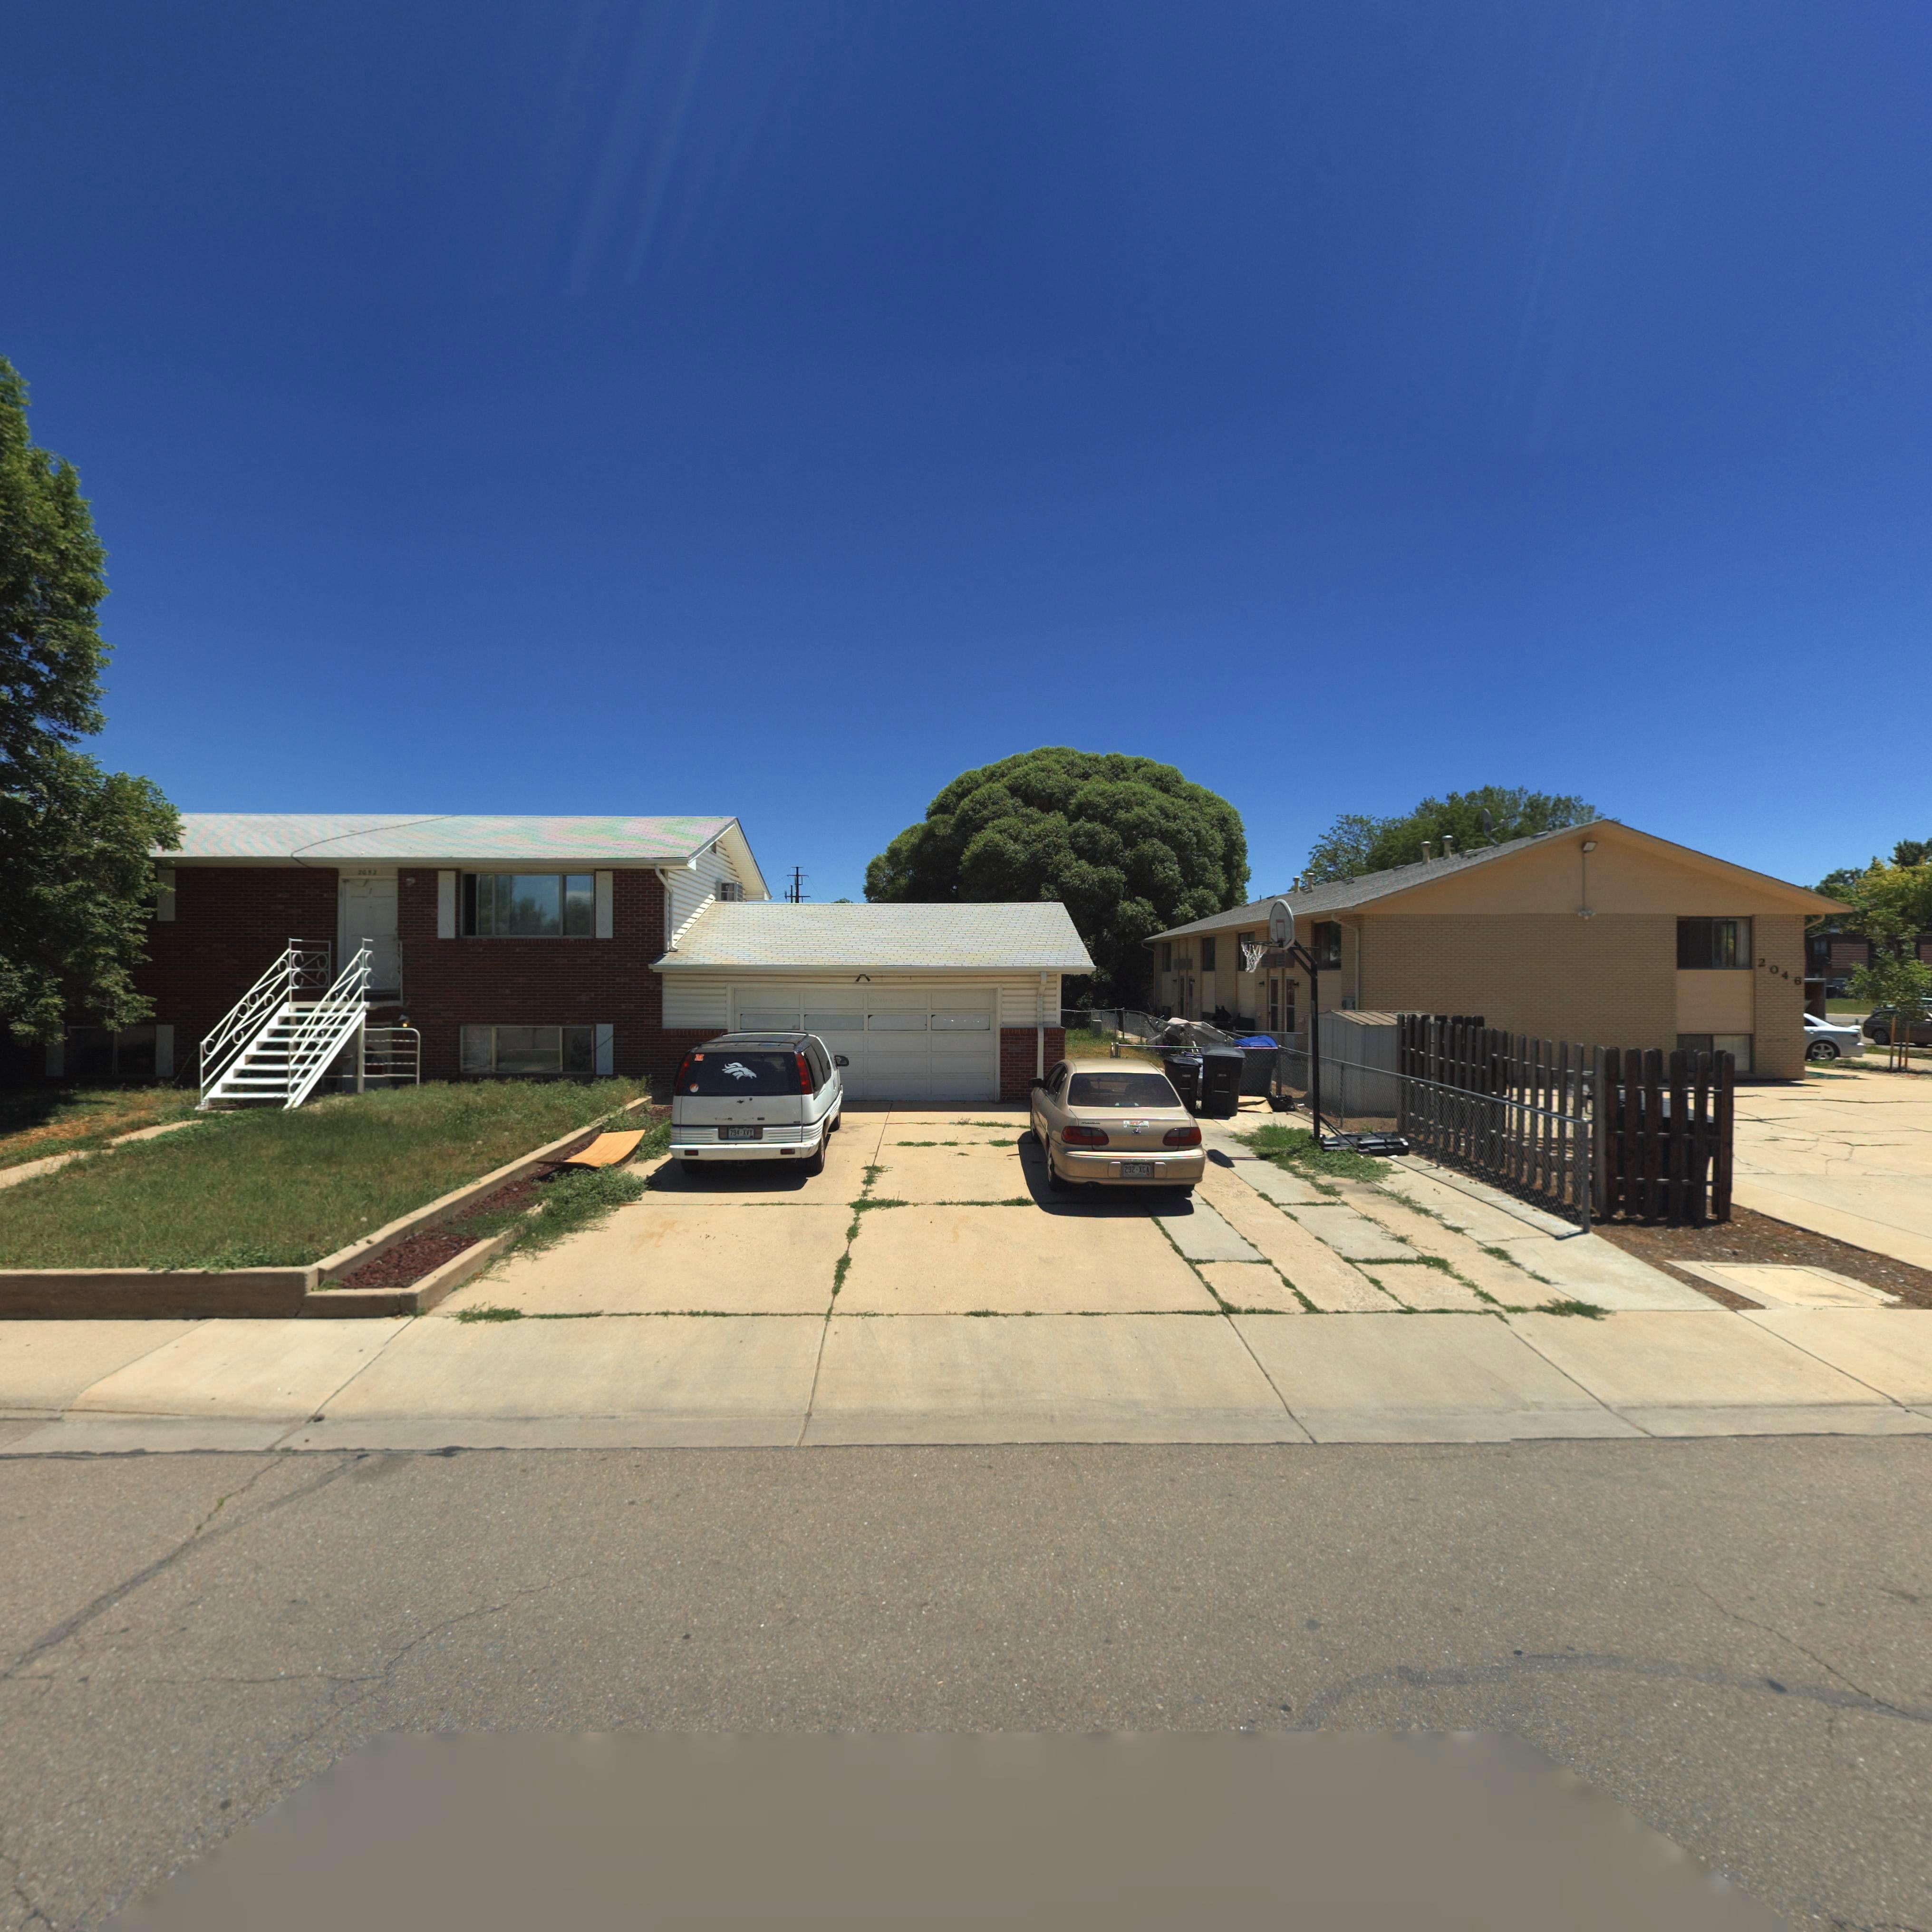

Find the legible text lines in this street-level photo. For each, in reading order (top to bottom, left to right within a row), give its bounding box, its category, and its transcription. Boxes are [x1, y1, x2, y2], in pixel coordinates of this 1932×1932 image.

[357, 869, 377, 875] StreetNumber: 2052
[367, 888, 373, 894] StreetNumber: 1
[1757, 957, 1802, 986] StreetNumber: 2046